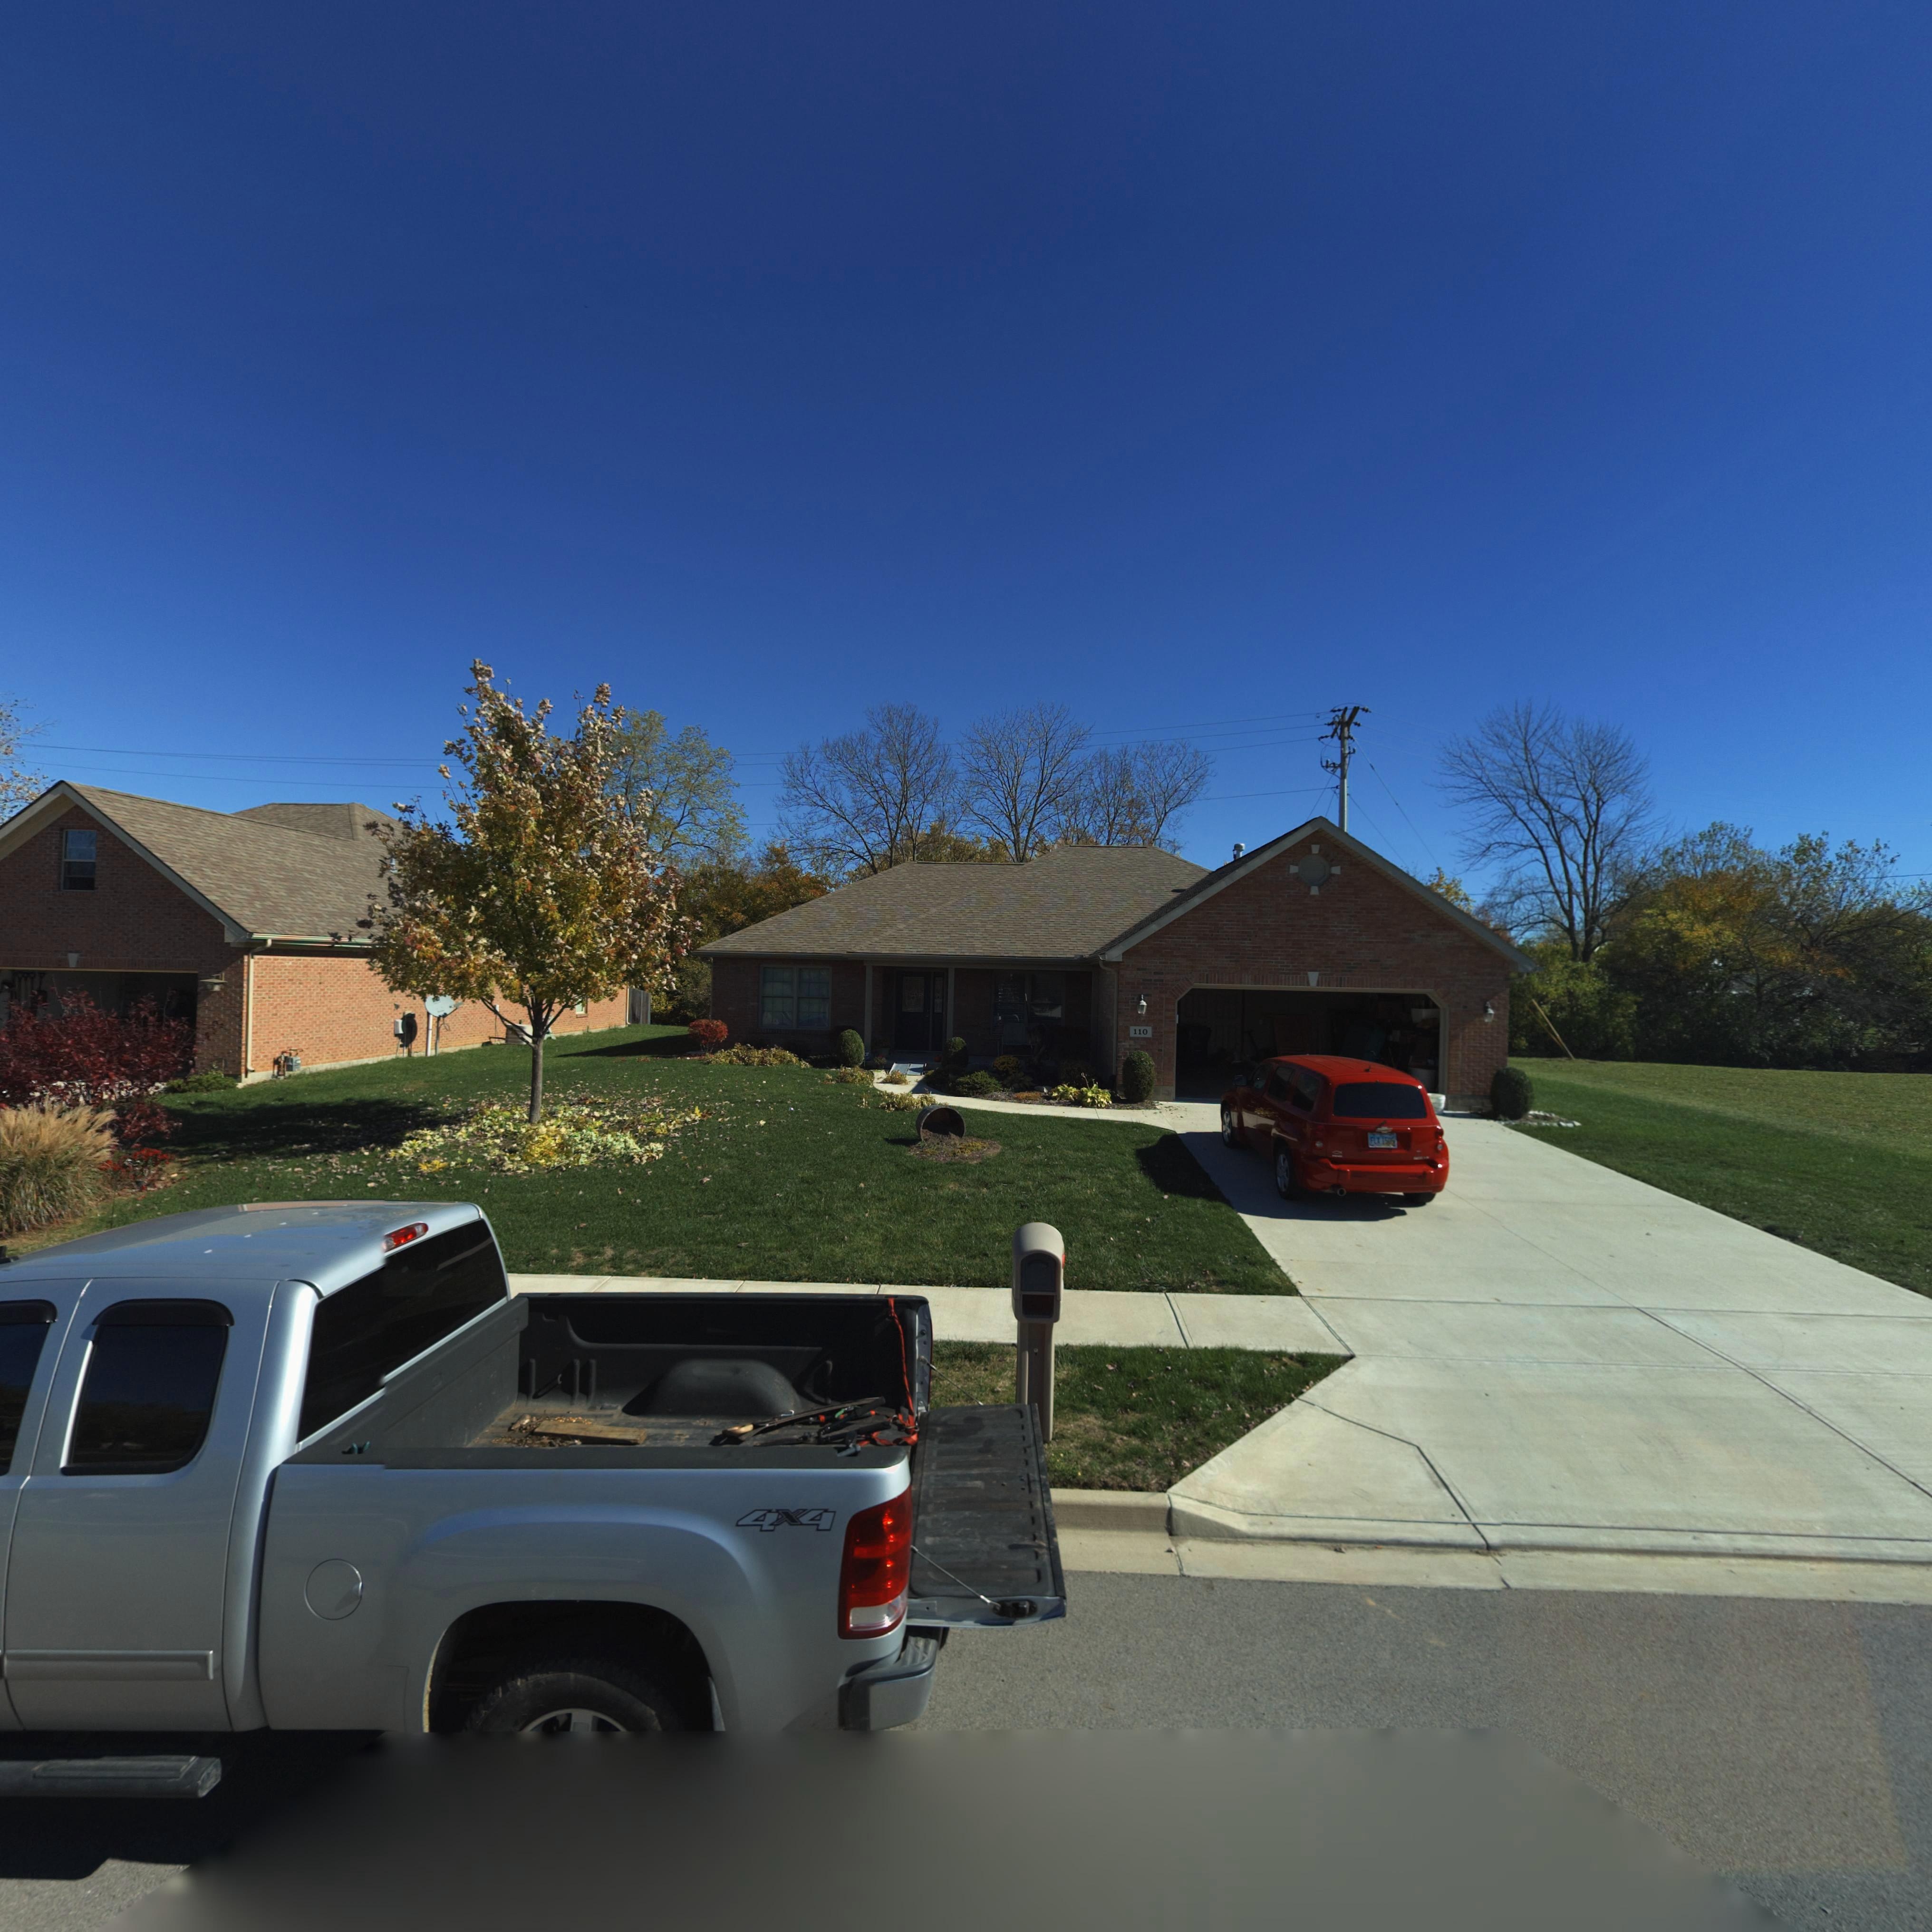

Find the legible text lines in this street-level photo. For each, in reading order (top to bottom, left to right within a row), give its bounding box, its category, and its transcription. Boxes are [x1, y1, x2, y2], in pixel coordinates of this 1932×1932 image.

[1133, 1028, 1149, 1035] StreetNumber: 110